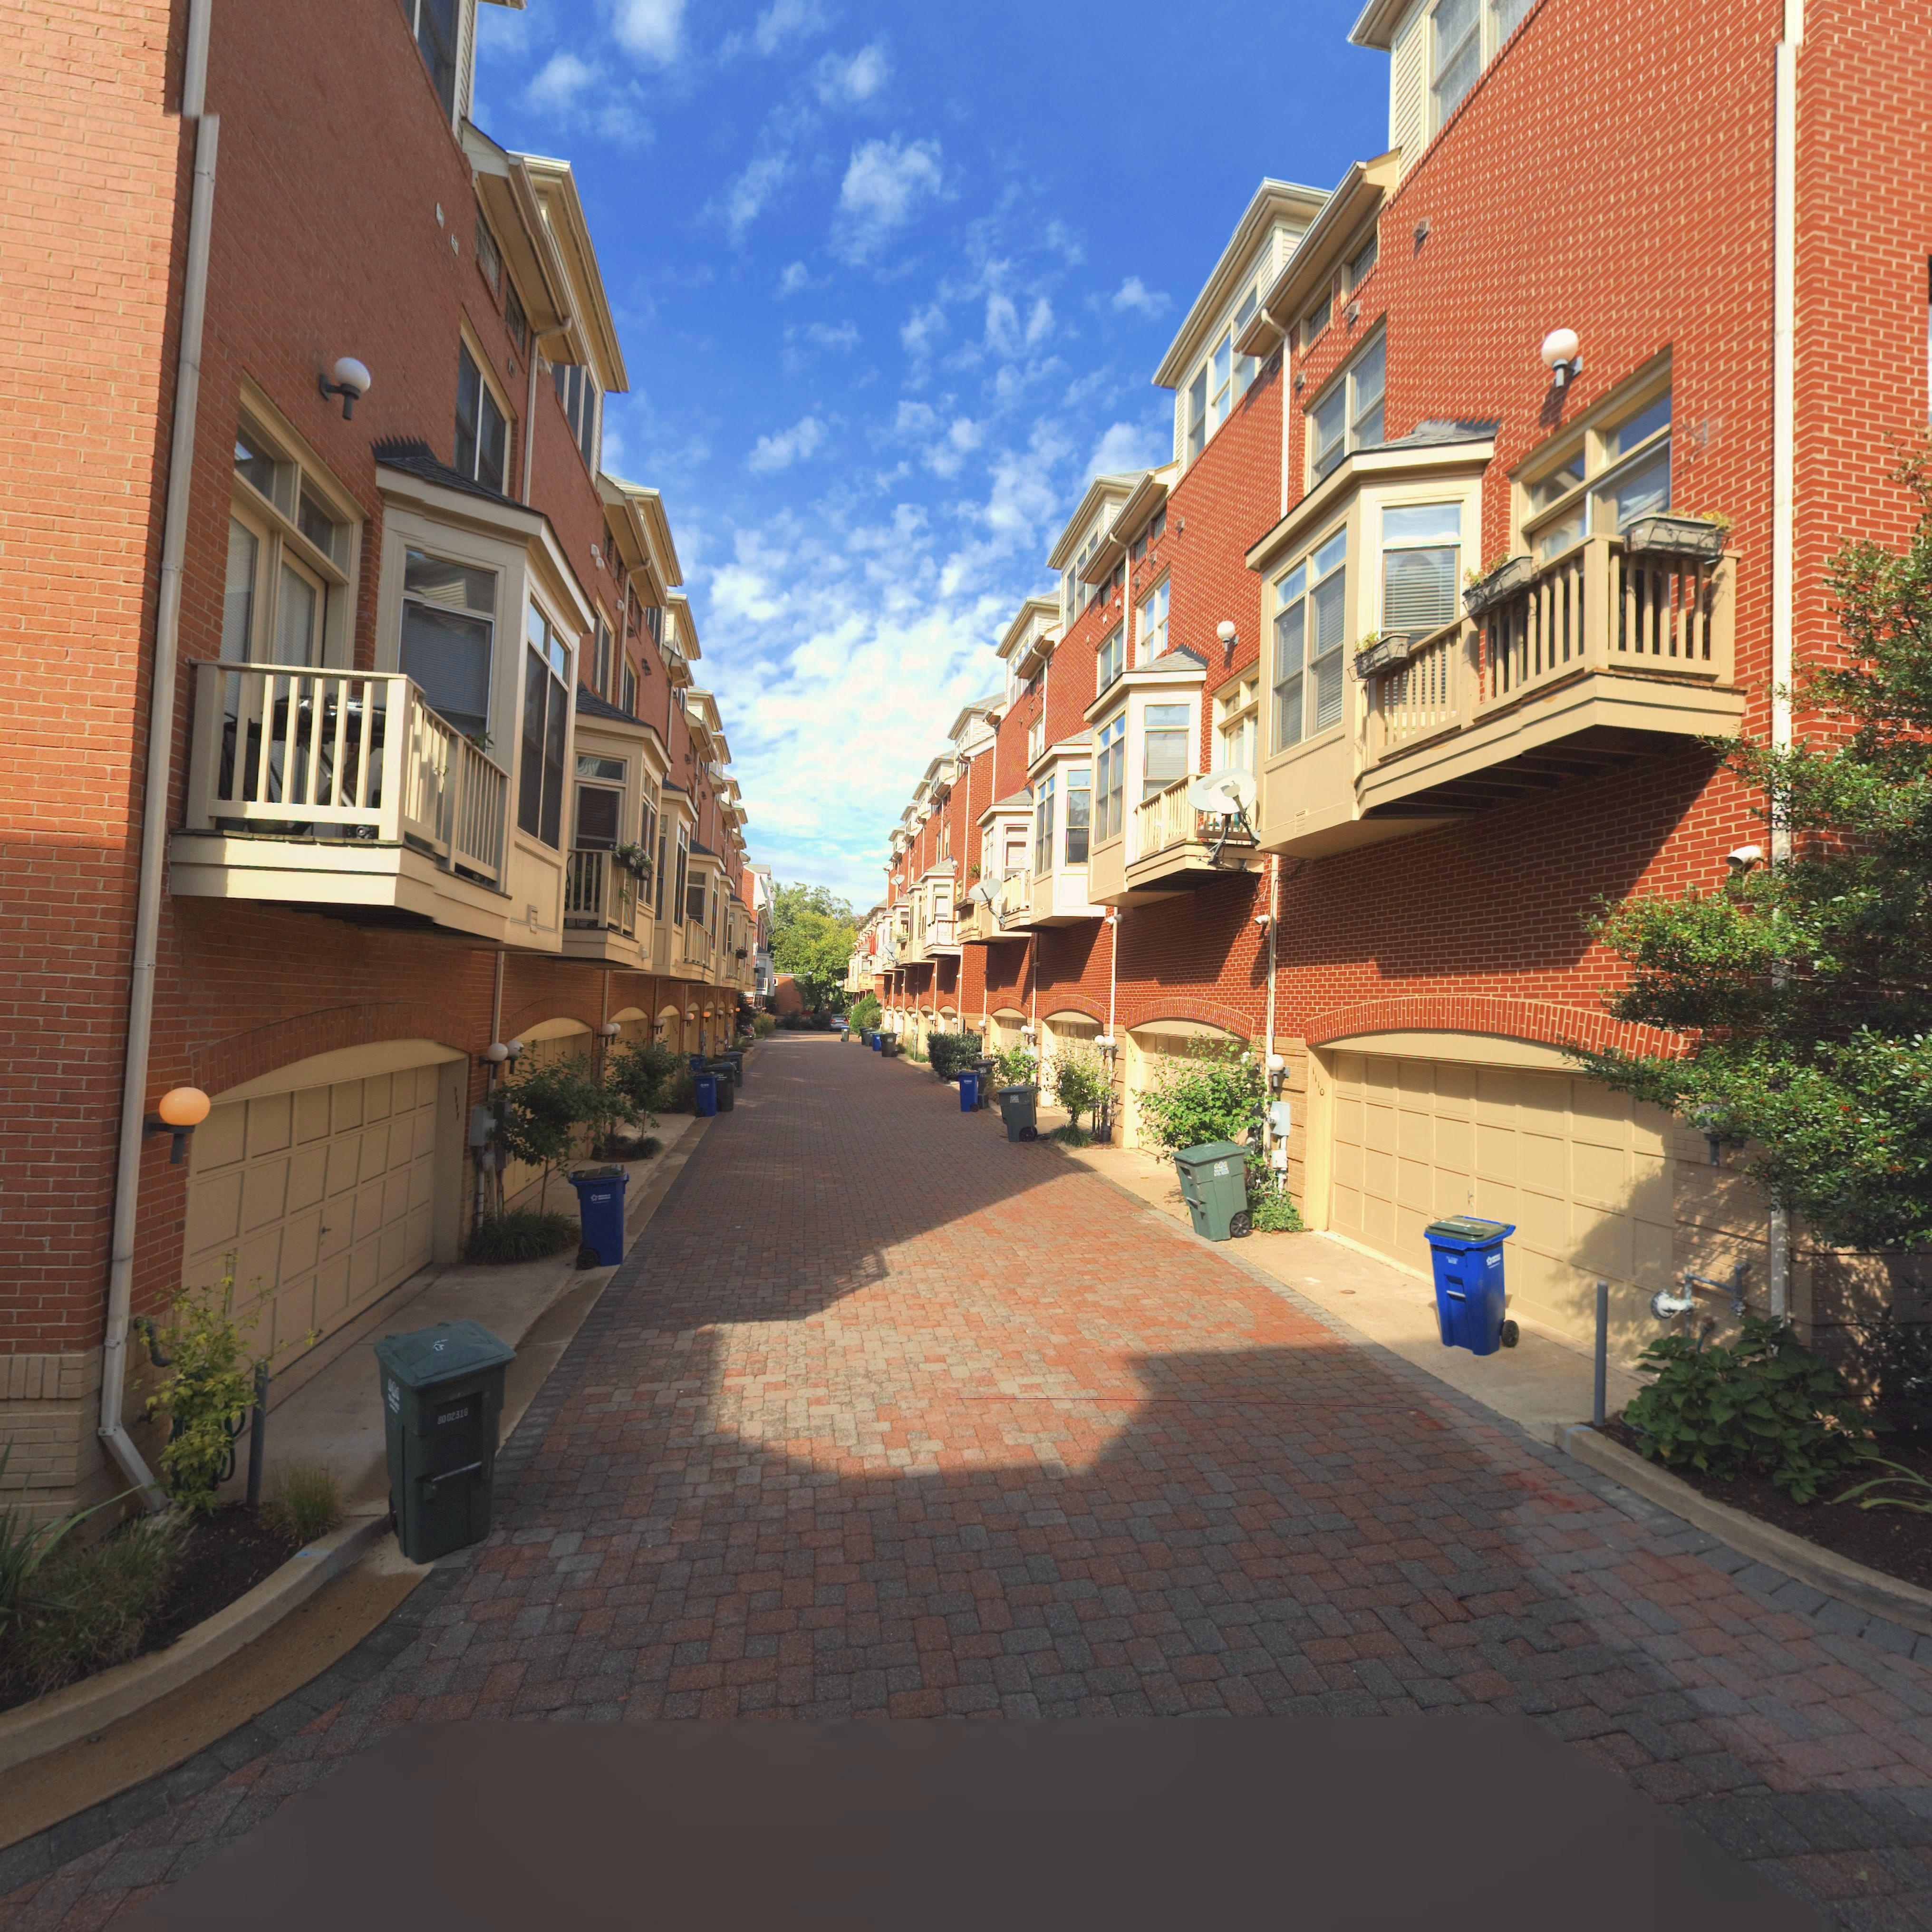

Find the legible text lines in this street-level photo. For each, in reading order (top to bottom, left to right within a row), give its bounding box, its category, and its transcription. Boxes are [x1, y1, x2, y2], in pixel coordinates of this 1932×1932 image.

[671, 1019, 679, 1035] StreetNumber: 11**
[1127, 1041, 1138, 1064] StreetNumber: 1114
[1311, 1065, 1325, 1098] StreetNumber: 1110
[453, 1083, 461, 1122] StreetNumber: 1111
[436, 1406, 469, 1426] None: 8002318